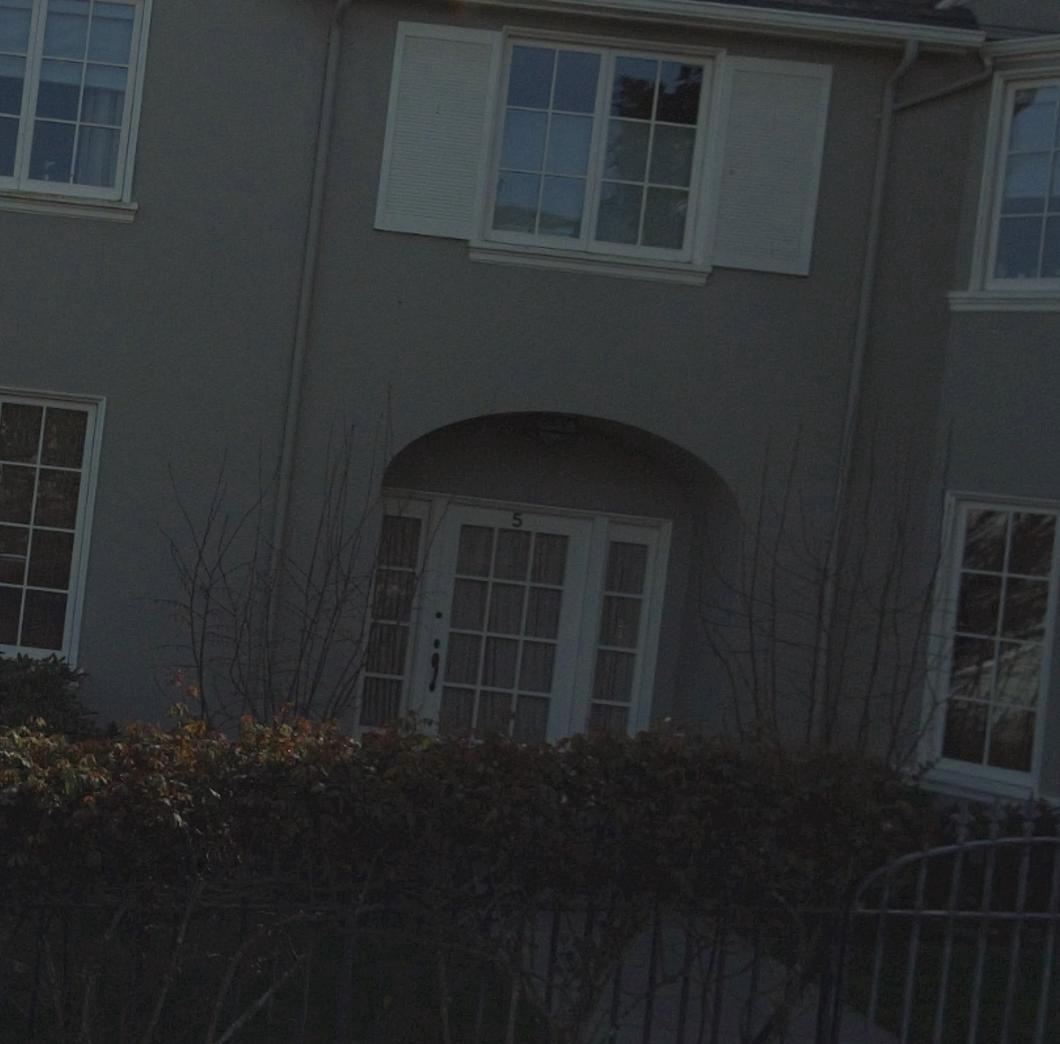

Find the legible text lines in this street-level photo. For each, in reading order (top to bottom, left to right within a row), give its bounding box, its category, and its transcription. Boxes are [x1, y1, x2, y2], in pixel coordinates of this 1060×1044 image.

[510, 511, 524, 529] StreetNumber: 5